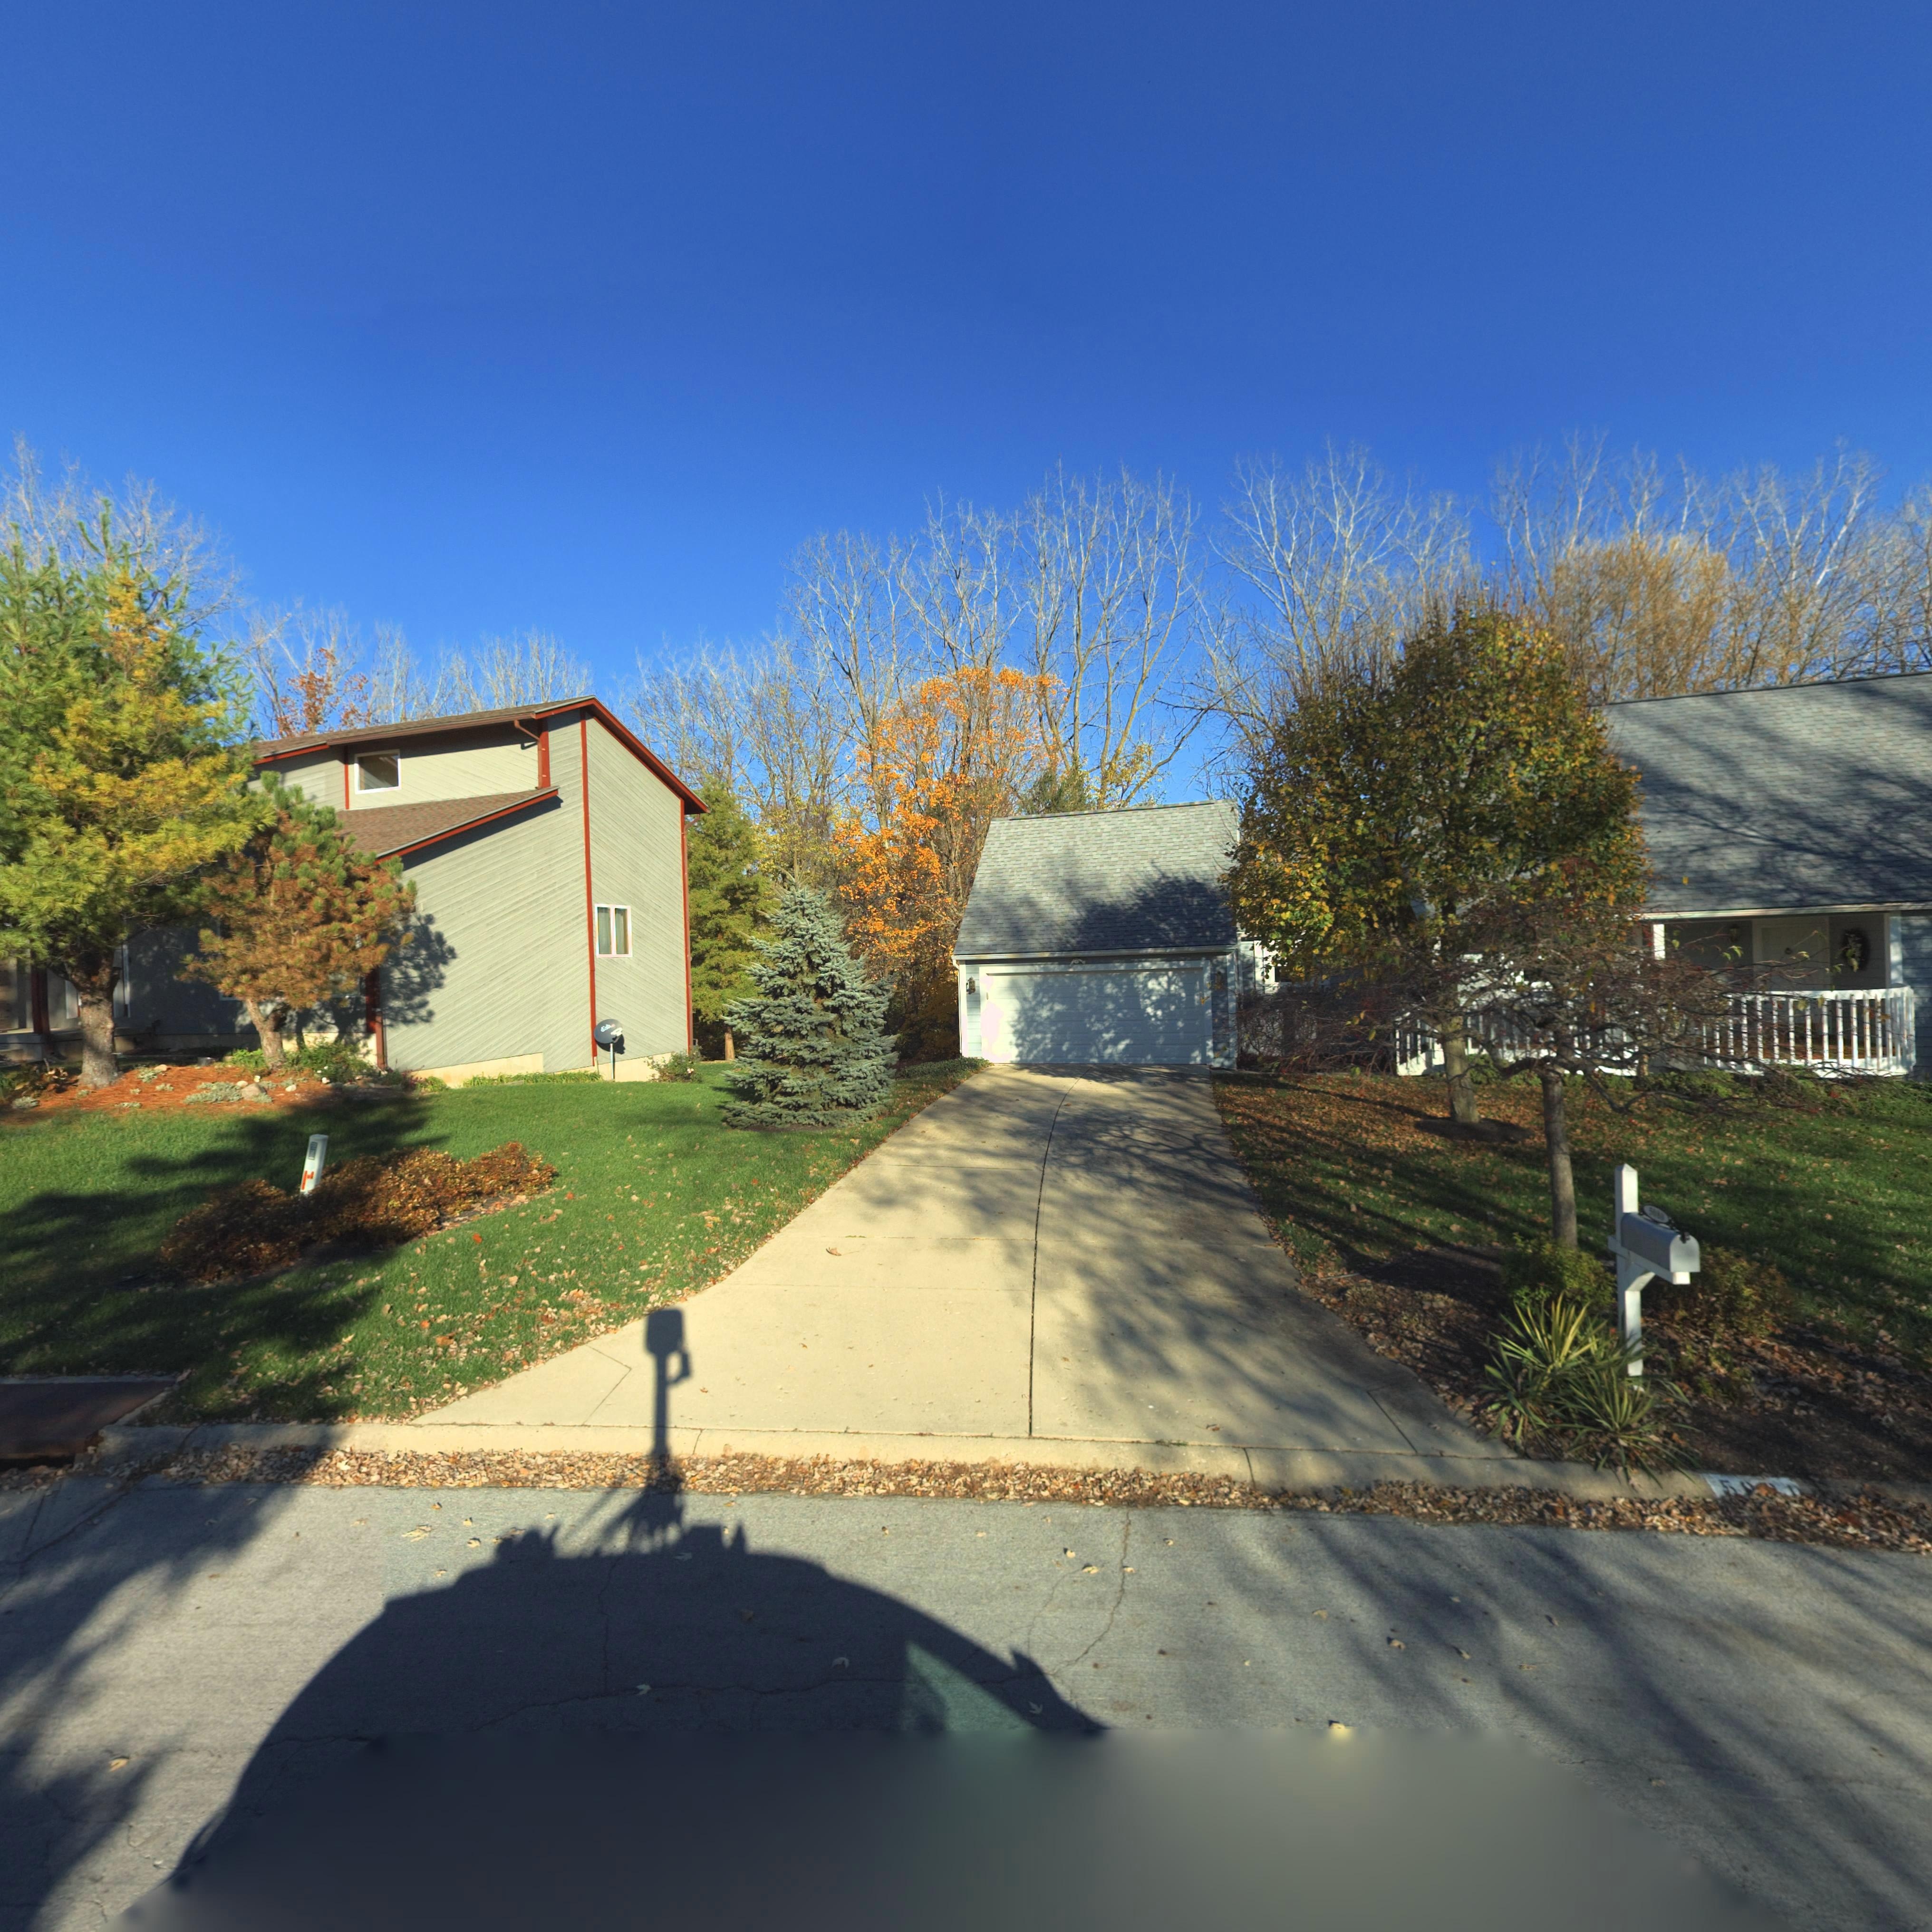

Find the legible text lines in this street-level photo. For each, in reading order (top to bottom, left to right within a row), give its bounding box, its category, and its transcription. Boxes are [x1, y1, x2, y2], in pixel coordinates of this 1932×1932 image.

[1648, 1206, 1666, 1222] StreetNumber: 5080
[1717, 1478, 1804, 1503] StreetNumber: 50*1